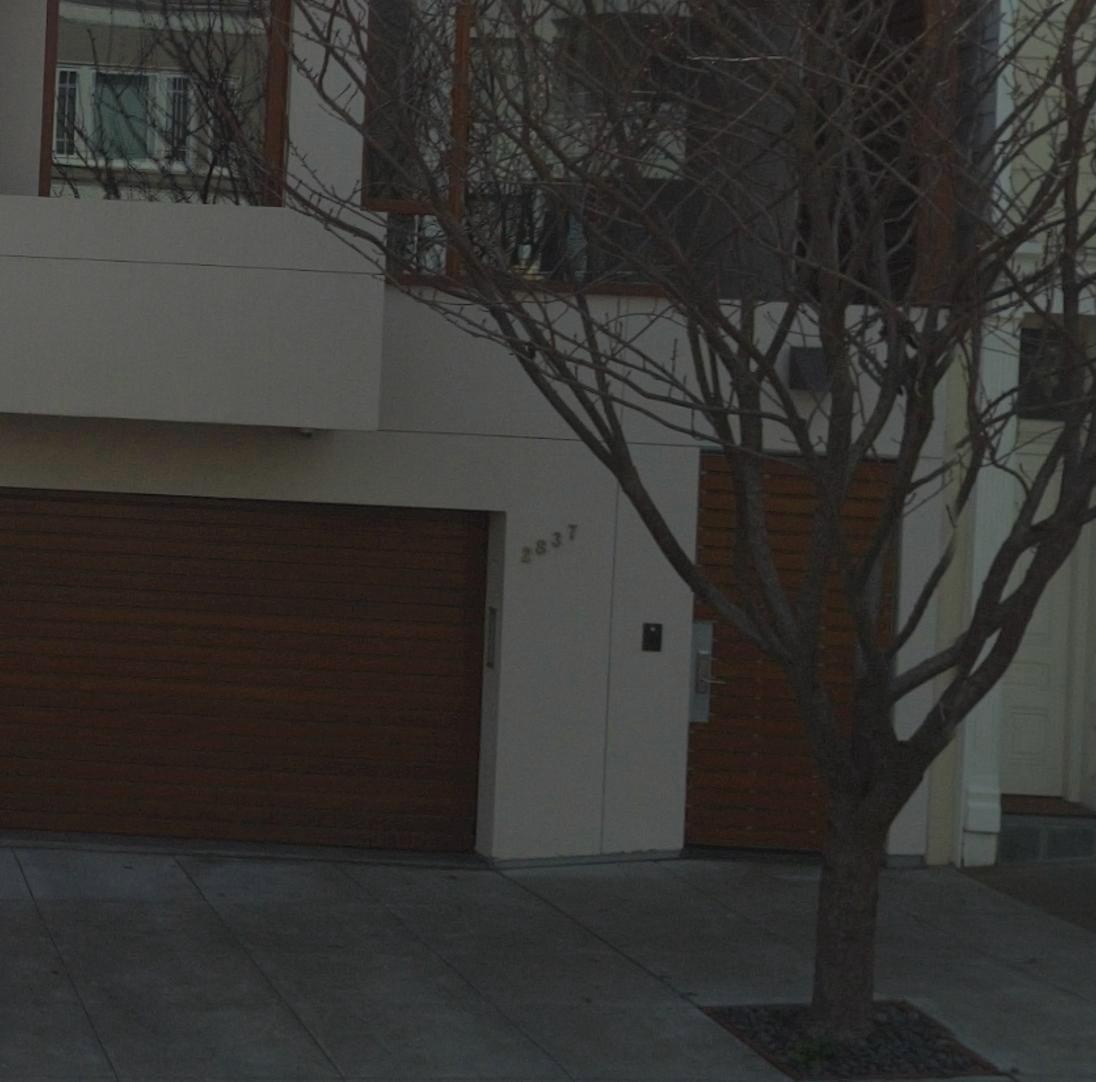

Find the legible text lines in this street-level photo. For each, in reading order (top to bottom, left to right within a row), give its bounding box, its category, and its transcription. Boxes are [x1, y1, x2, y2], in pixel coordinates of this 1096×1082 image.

[518, 521, 581, 565] StreetNumber: 2837